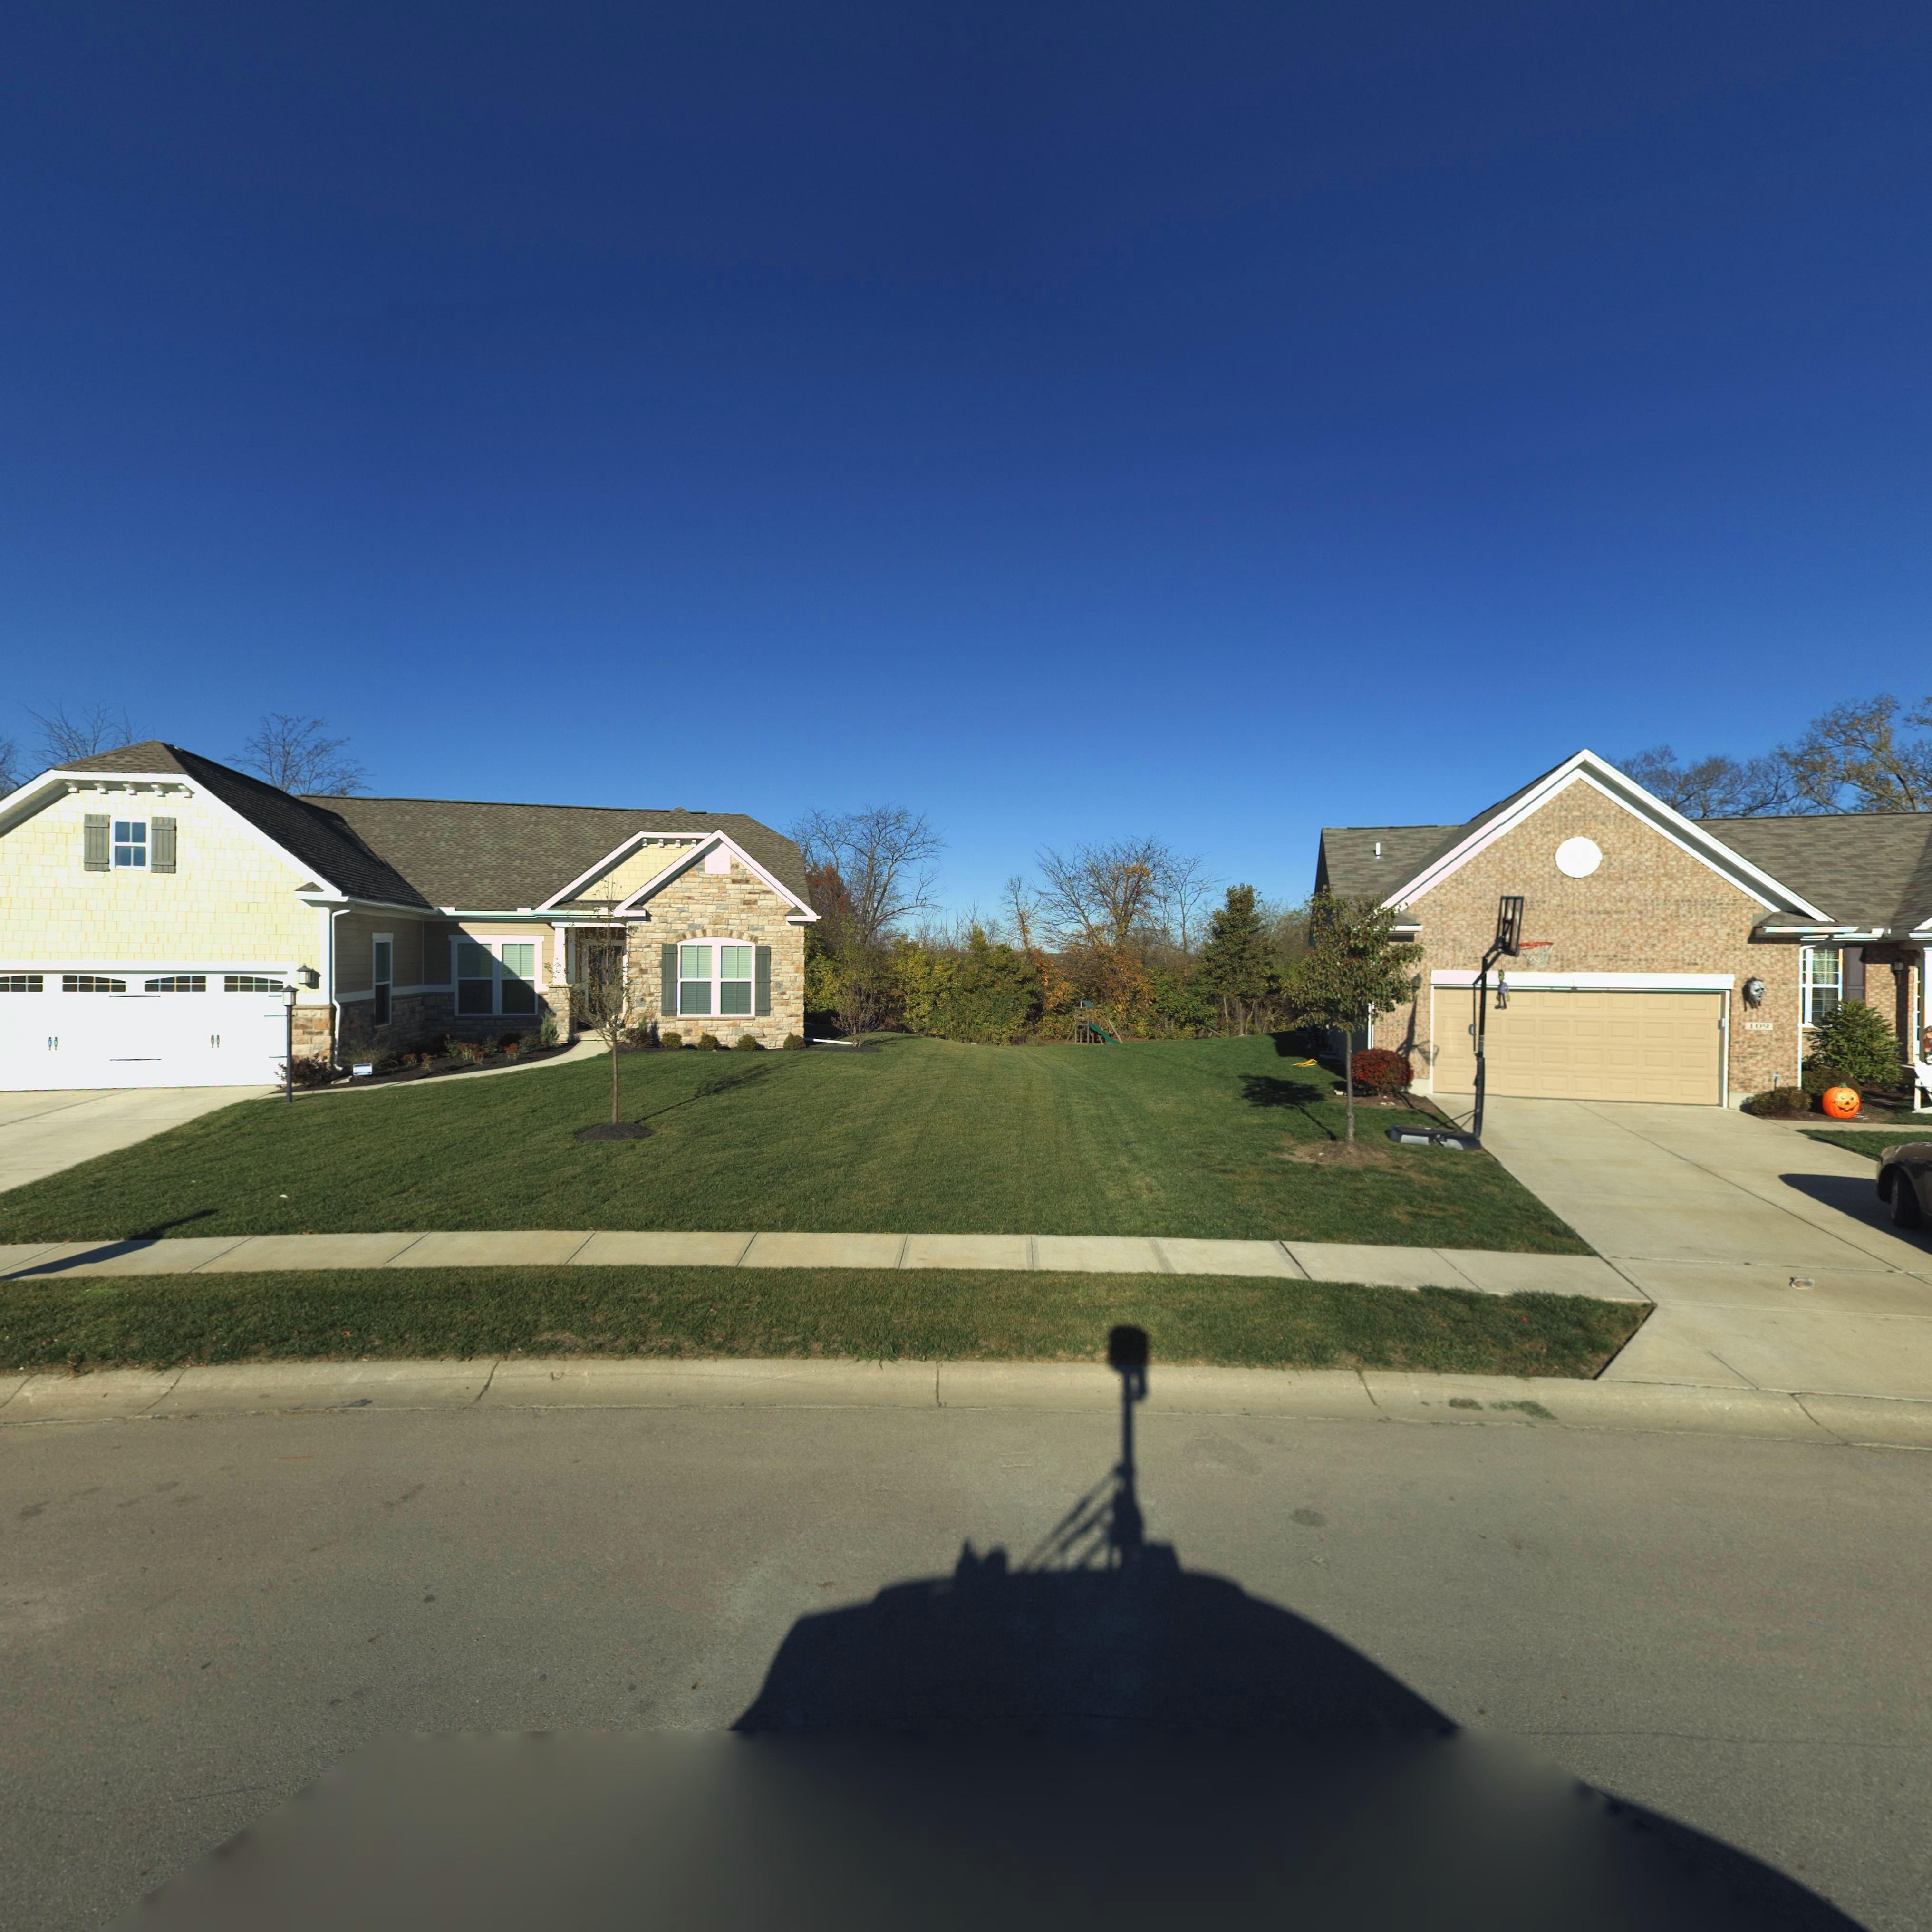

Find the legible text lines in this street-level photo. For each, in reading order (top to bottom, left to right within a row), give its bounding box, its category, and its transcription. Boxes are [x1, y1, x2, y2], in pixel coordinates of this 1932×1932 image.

[1749, 1022, 1770, 1030] StreetNumber: 109